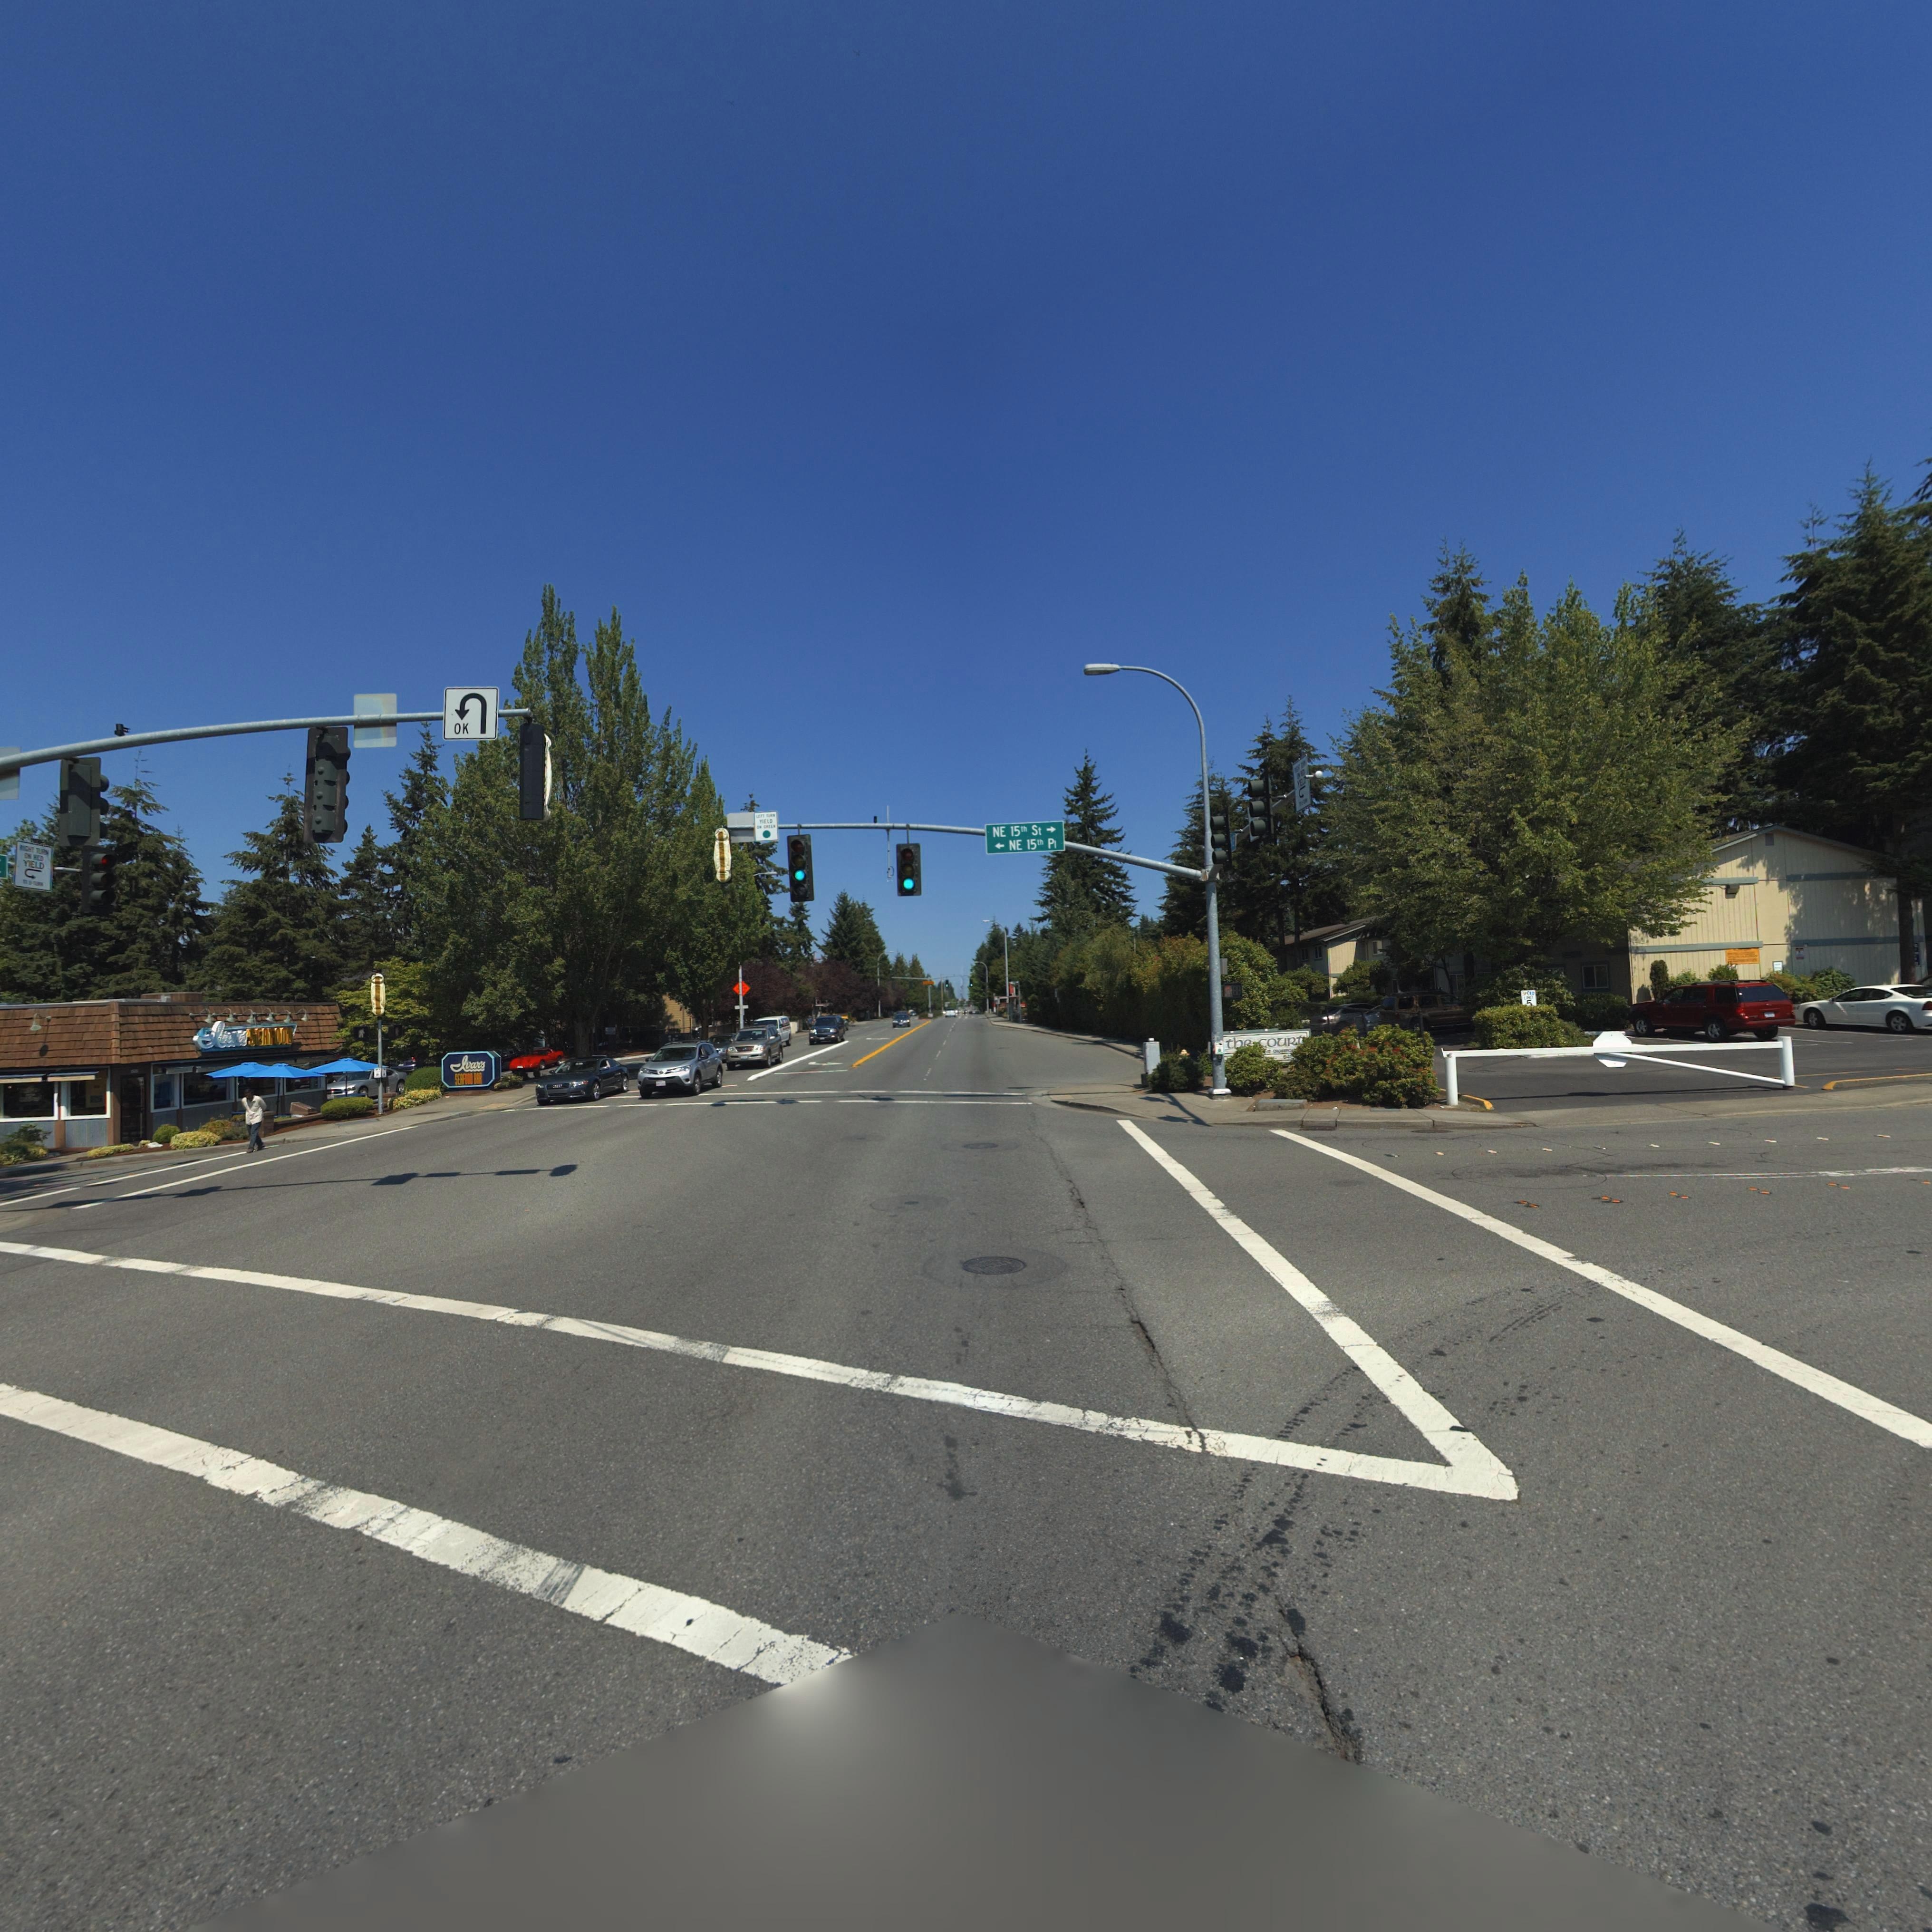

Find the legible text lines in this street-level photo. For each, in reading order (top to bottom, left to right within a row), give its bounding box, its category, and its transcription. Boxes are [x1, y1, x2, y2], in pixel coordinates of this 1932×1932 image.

[992, 823, 1042, 838] StreetName: NE 15th St
[1008, 837, 1058, 851] StreetName: NE 15th Pl
[1225, 1035, 1252, 1049] BusinessName: t**
[1258, 1034, 1304, 1047] BusinessName: *ouR*
[449, 1054, 485, 1072] BusinessName: Ivar's
[454, 1072, 473, 1085] BusinessName: SEAFO**